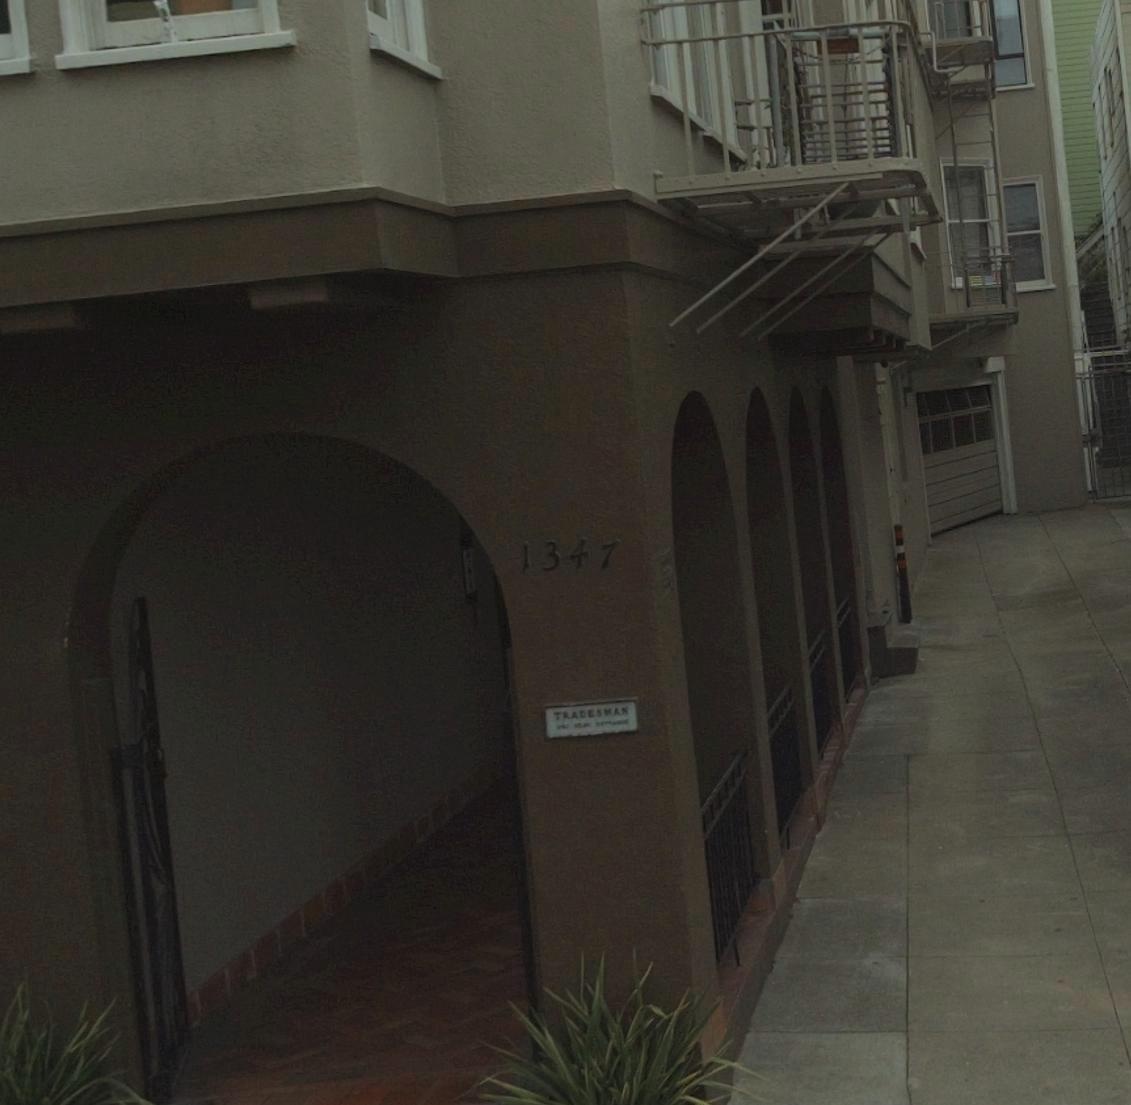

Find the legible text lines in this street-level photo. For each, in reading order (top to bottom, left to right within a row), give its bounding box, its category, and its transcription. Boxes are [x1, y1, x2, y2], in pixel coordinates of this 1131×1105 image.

[515, 537, 627, 576] StreetNumber: 1347
[551, 703, 634, 722] BusinessName: TRADESMAN